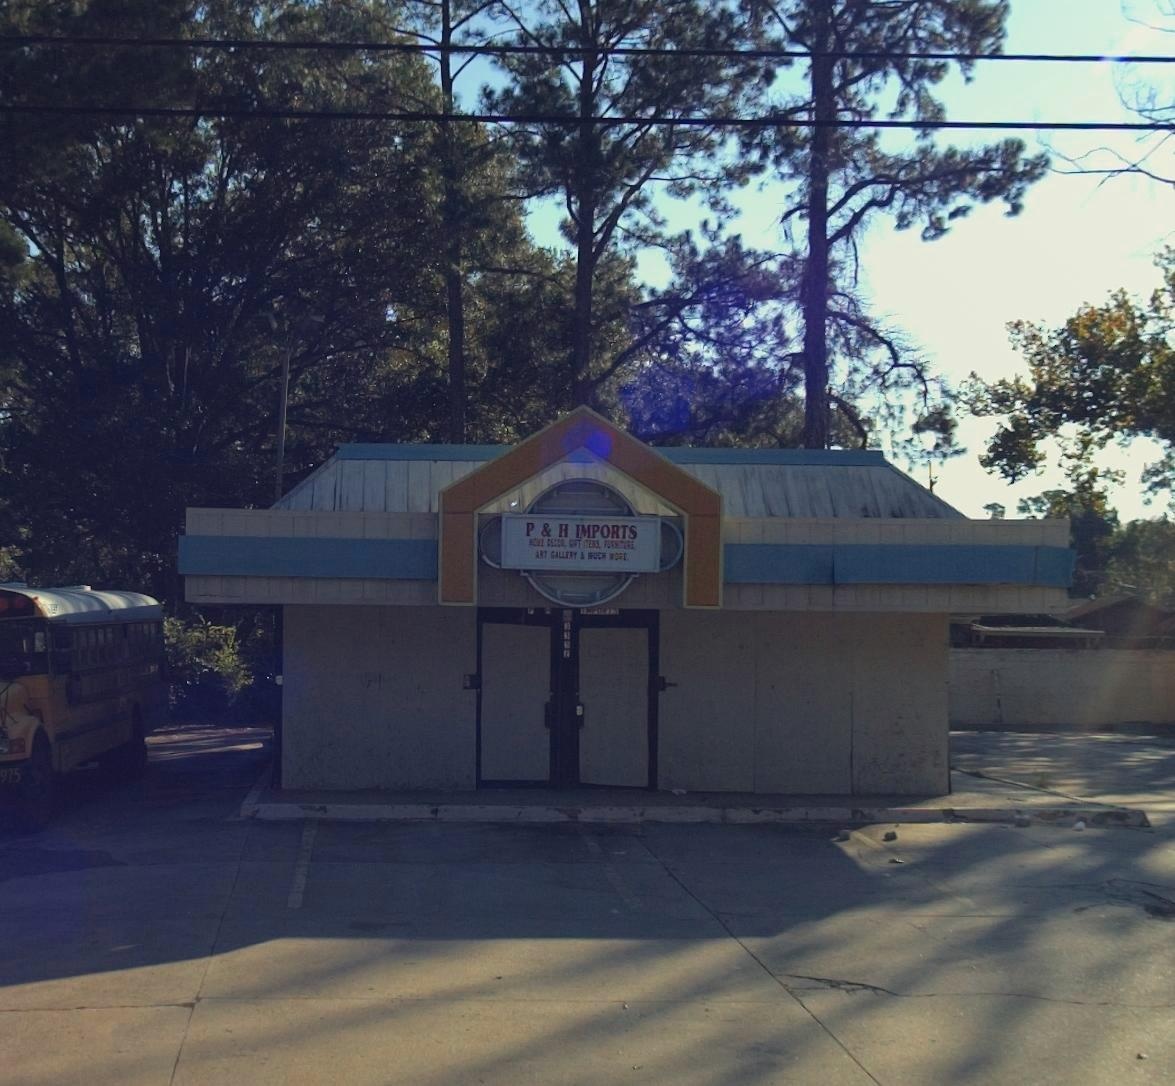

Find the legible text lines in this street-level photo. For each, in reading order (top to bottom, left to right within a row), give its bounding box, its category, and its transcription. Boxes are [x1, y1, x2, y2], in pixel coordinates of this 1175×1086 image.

[523, 520, 639, 541] BusinessName: P & H IMPORTS
[533, 548, 580, 561] None: ART GALLERY